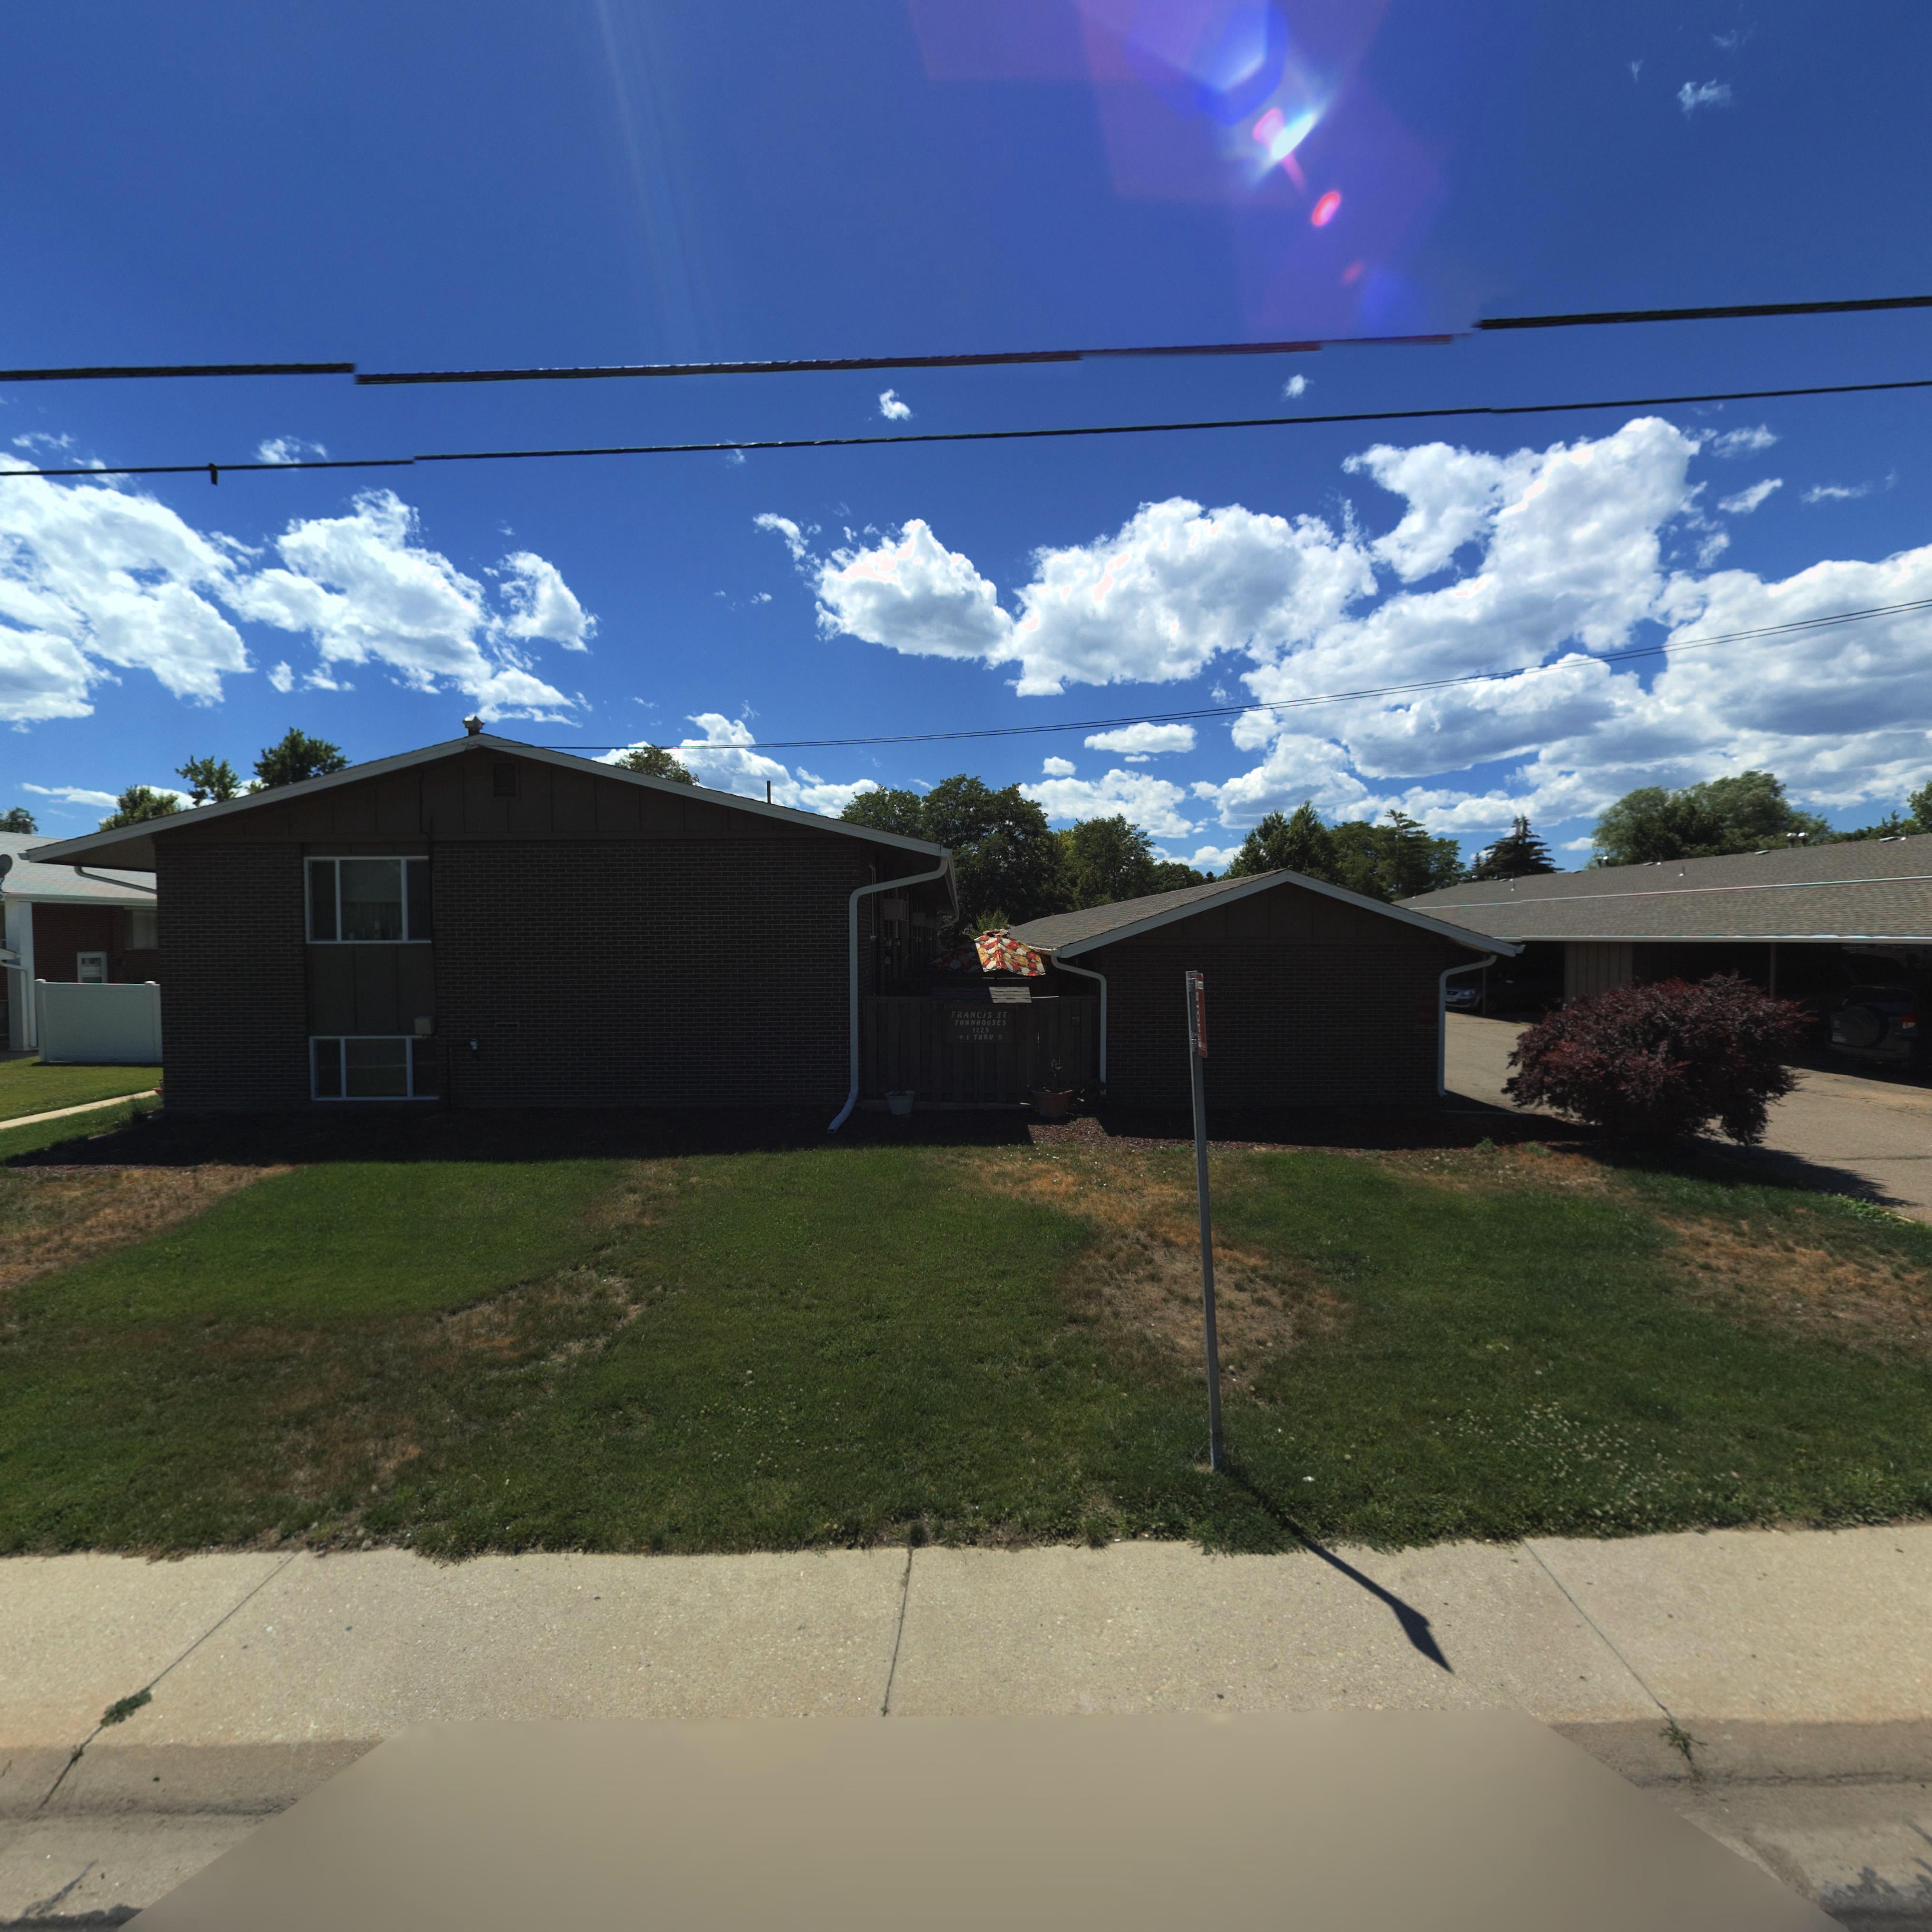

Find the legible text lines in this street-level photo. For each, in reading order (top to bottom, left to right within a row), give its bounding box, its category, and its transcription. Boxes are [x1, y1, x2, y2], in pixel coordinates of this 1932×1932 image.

[951, 1011, 1009, 1018] StreetName: FRANCIS ST.
[973, 1027, 989, 1033] StreetNumber: 1229